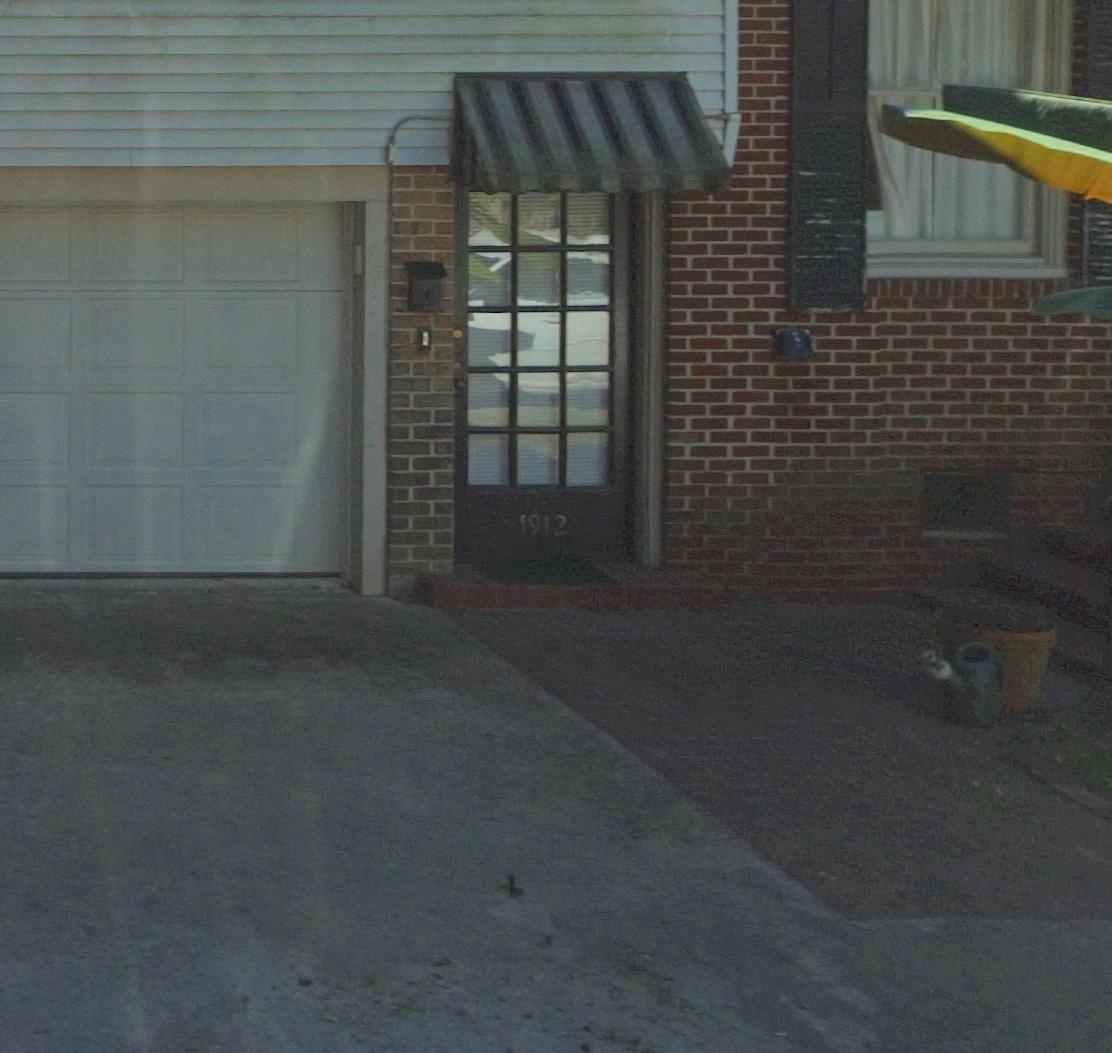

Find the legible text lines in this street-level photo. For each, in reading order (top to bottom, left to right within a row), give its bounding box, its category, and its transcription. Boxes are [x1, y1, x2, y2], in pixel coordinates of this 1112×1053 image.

[515, 511, 570, 540] StreetNumber: 1912